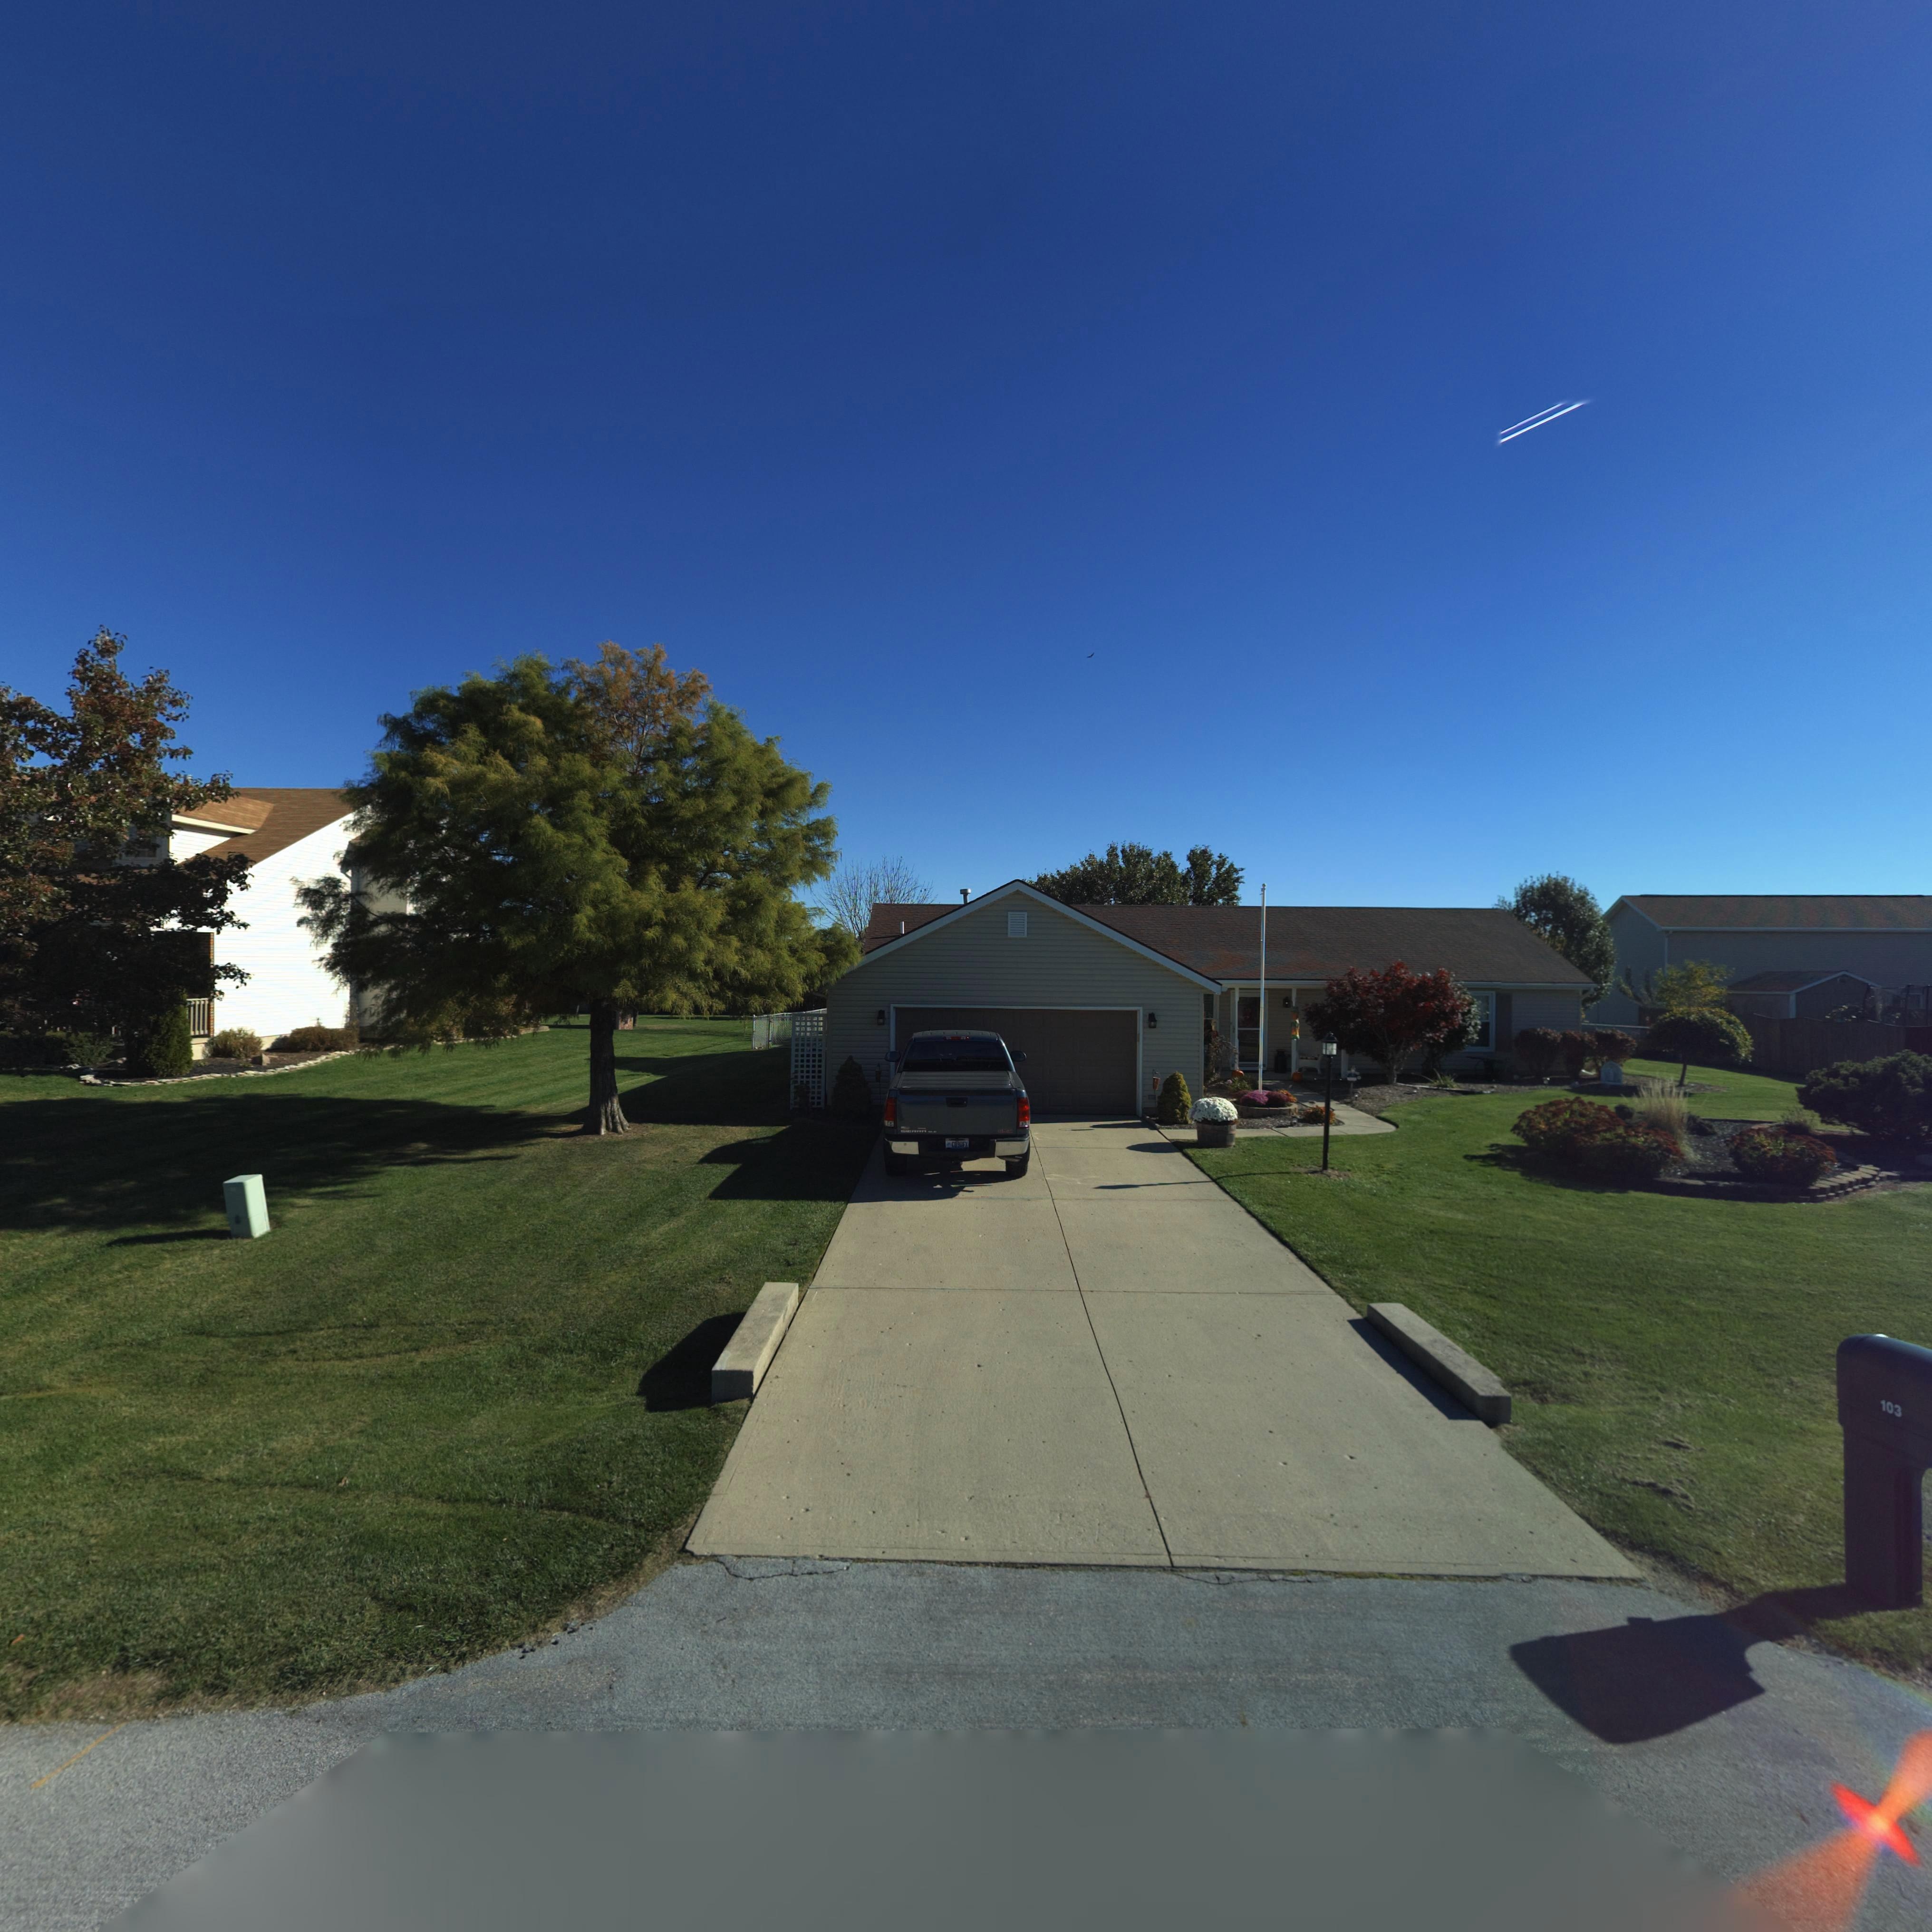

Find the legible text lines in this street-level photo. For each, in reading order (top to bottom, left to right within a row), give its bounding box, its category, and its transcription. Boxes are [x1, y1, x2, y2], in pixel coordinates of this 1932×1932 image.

[1880, 1397, 1903, 1418] StreetNumber: 103